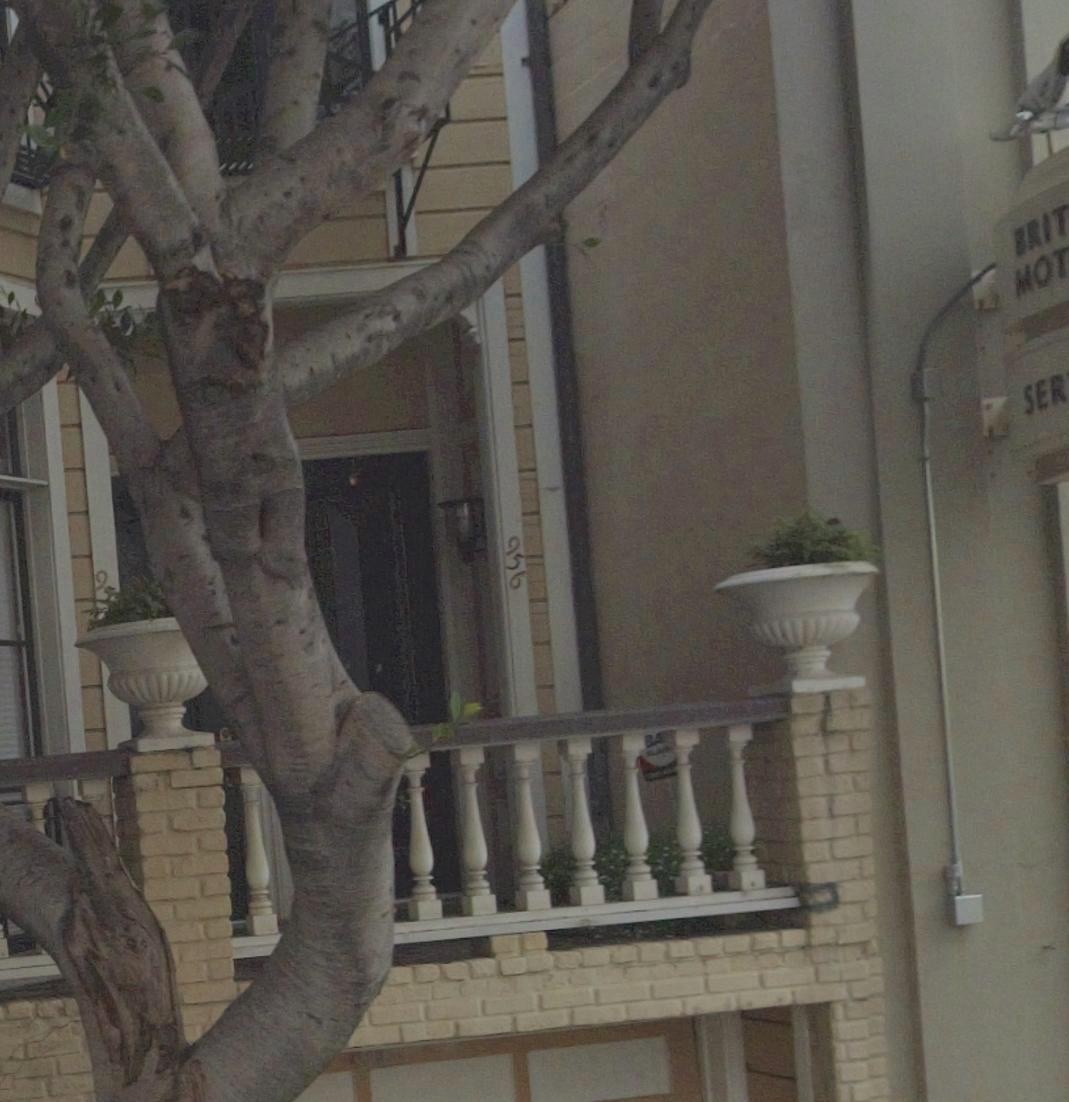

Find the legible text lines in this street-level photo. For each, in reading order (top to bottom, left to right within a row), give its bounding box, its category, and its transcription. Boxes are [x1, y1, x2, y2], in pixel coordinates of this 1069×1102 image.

[502, 533, 529, 595] StreetNumber: 956